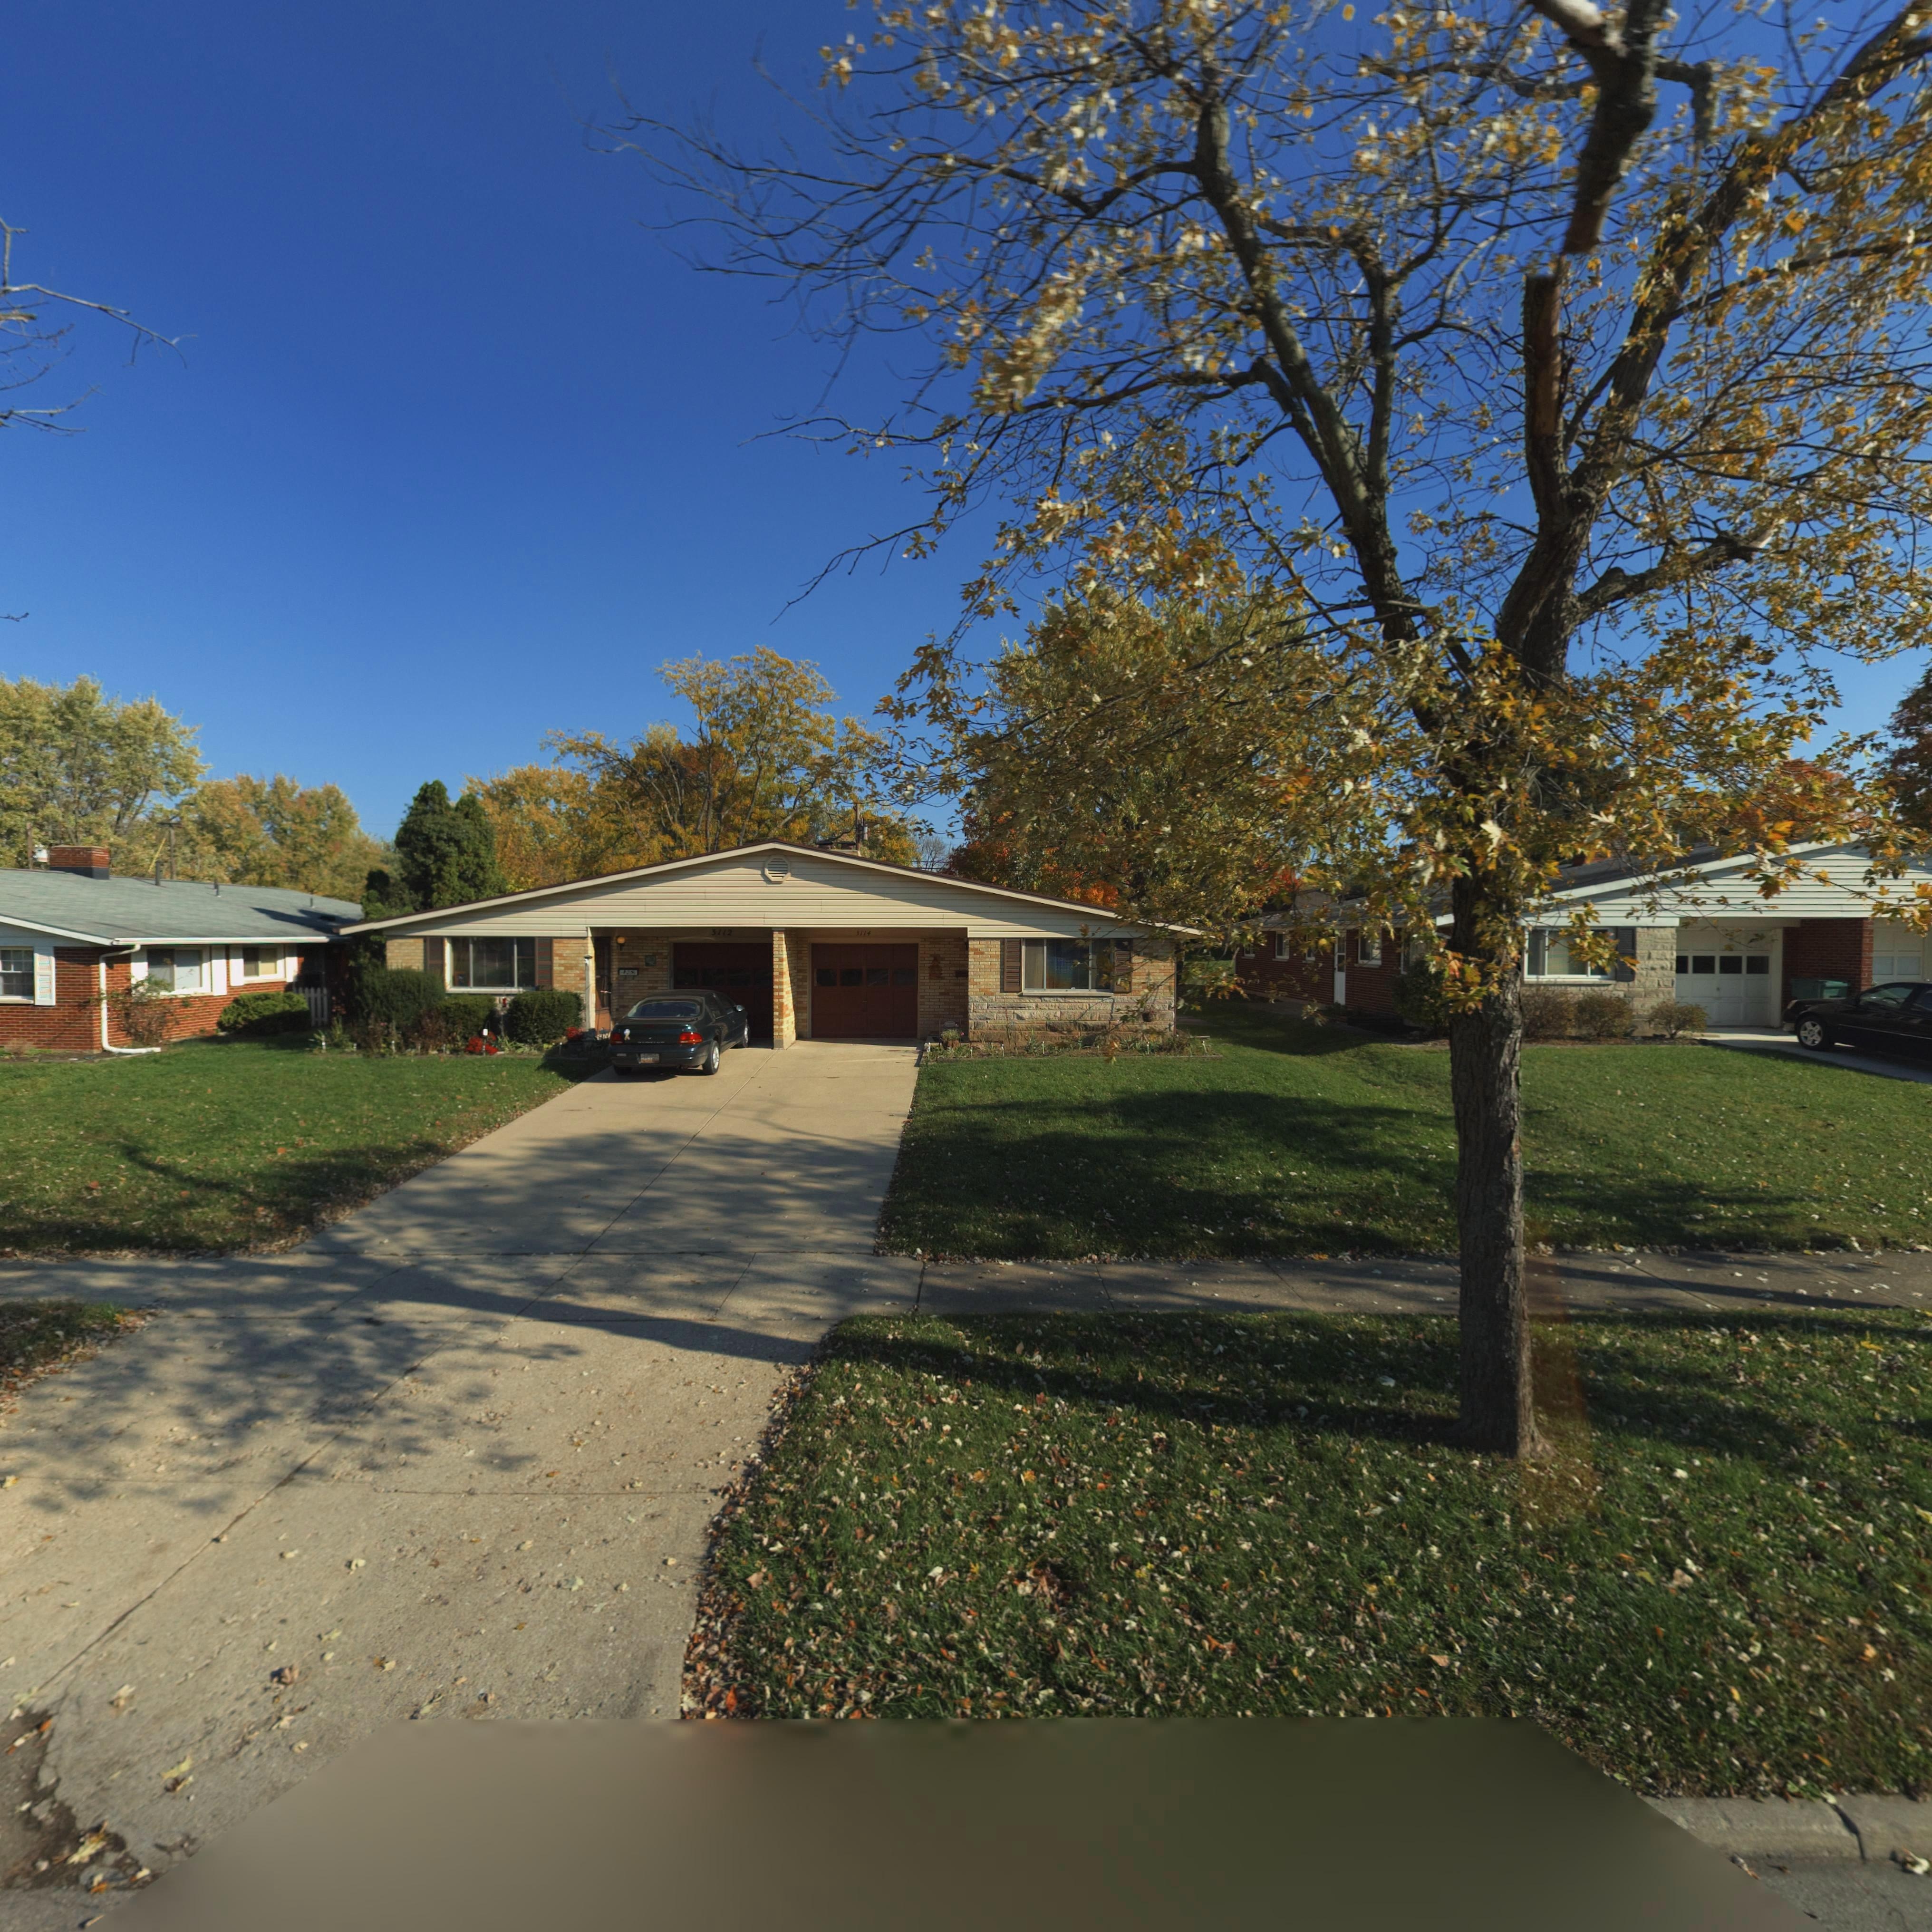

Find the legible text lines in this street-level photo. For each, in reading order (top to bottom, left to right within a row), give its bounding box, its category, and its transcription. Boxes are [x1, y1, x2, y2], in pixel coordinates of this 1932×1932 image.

[711, 927, 732, 935] StreetNumber: 3112
[855, 929, 870, 936] StreetNumber: 3114